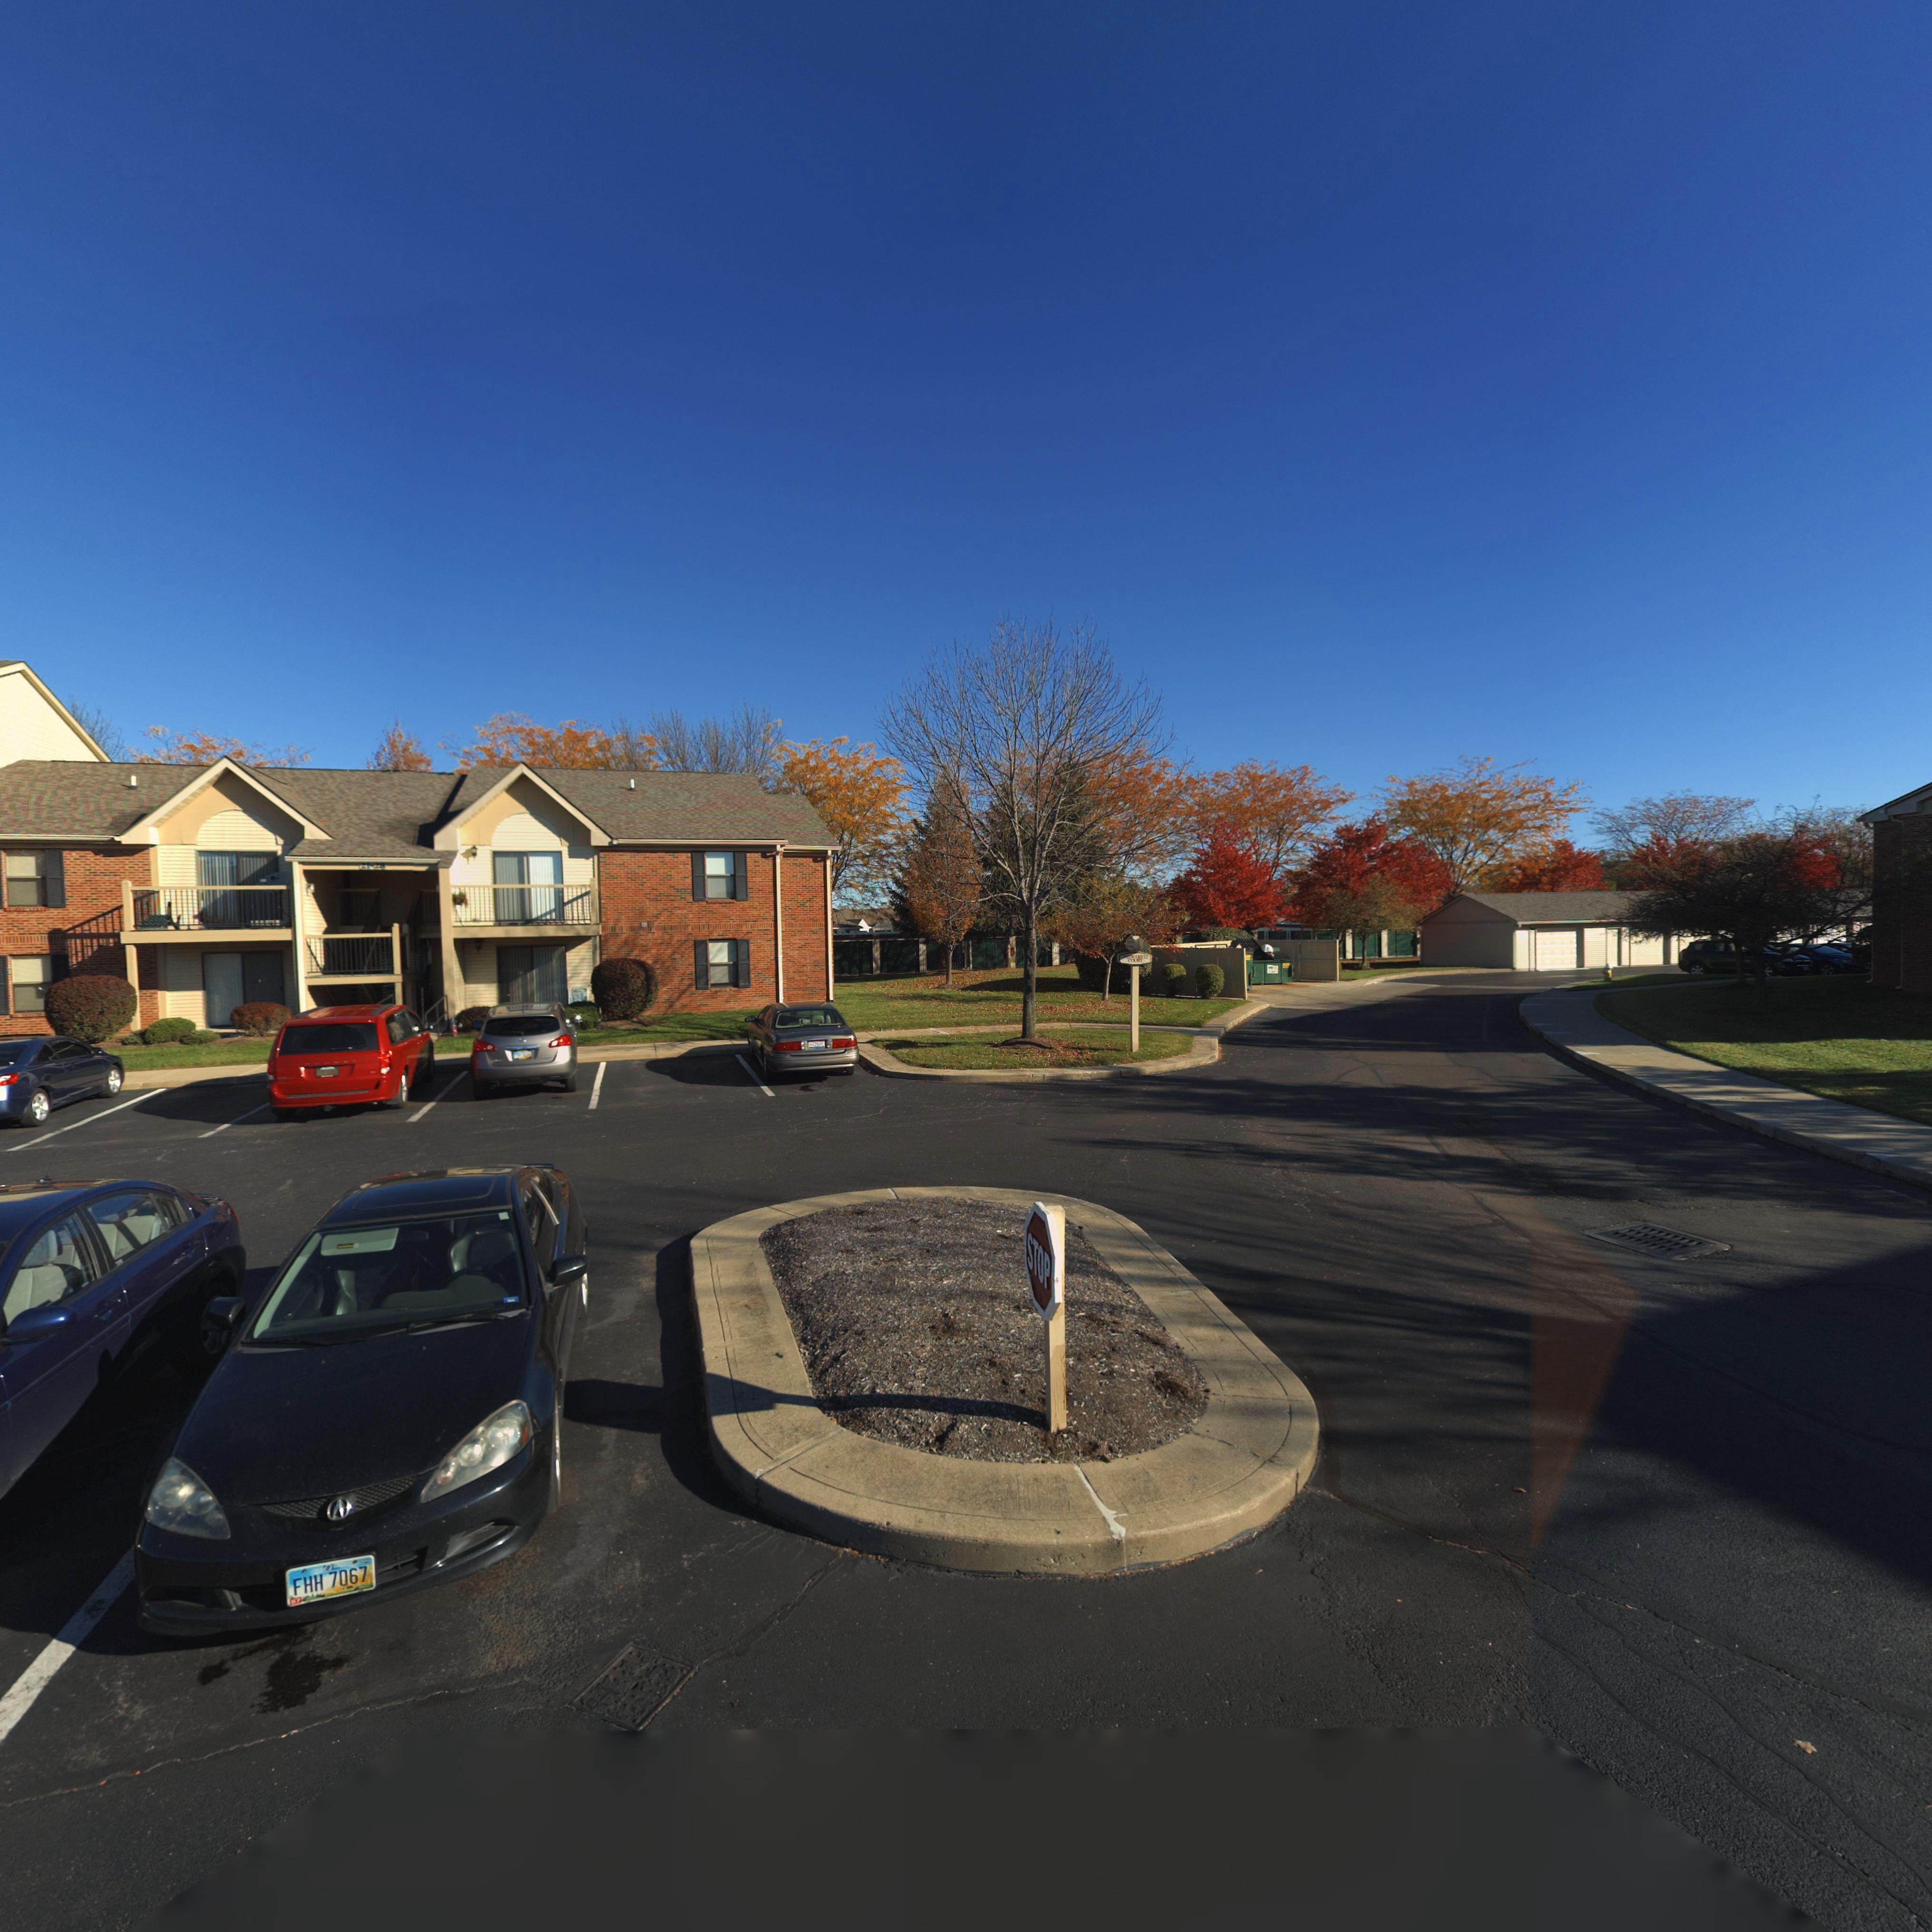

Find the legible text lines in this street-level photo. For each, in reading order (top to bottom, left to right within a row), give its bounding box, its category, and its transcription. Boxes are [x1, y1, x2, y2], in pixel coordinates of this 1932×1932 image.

[358, 862, 385, 869] StreetNumber: 21-28